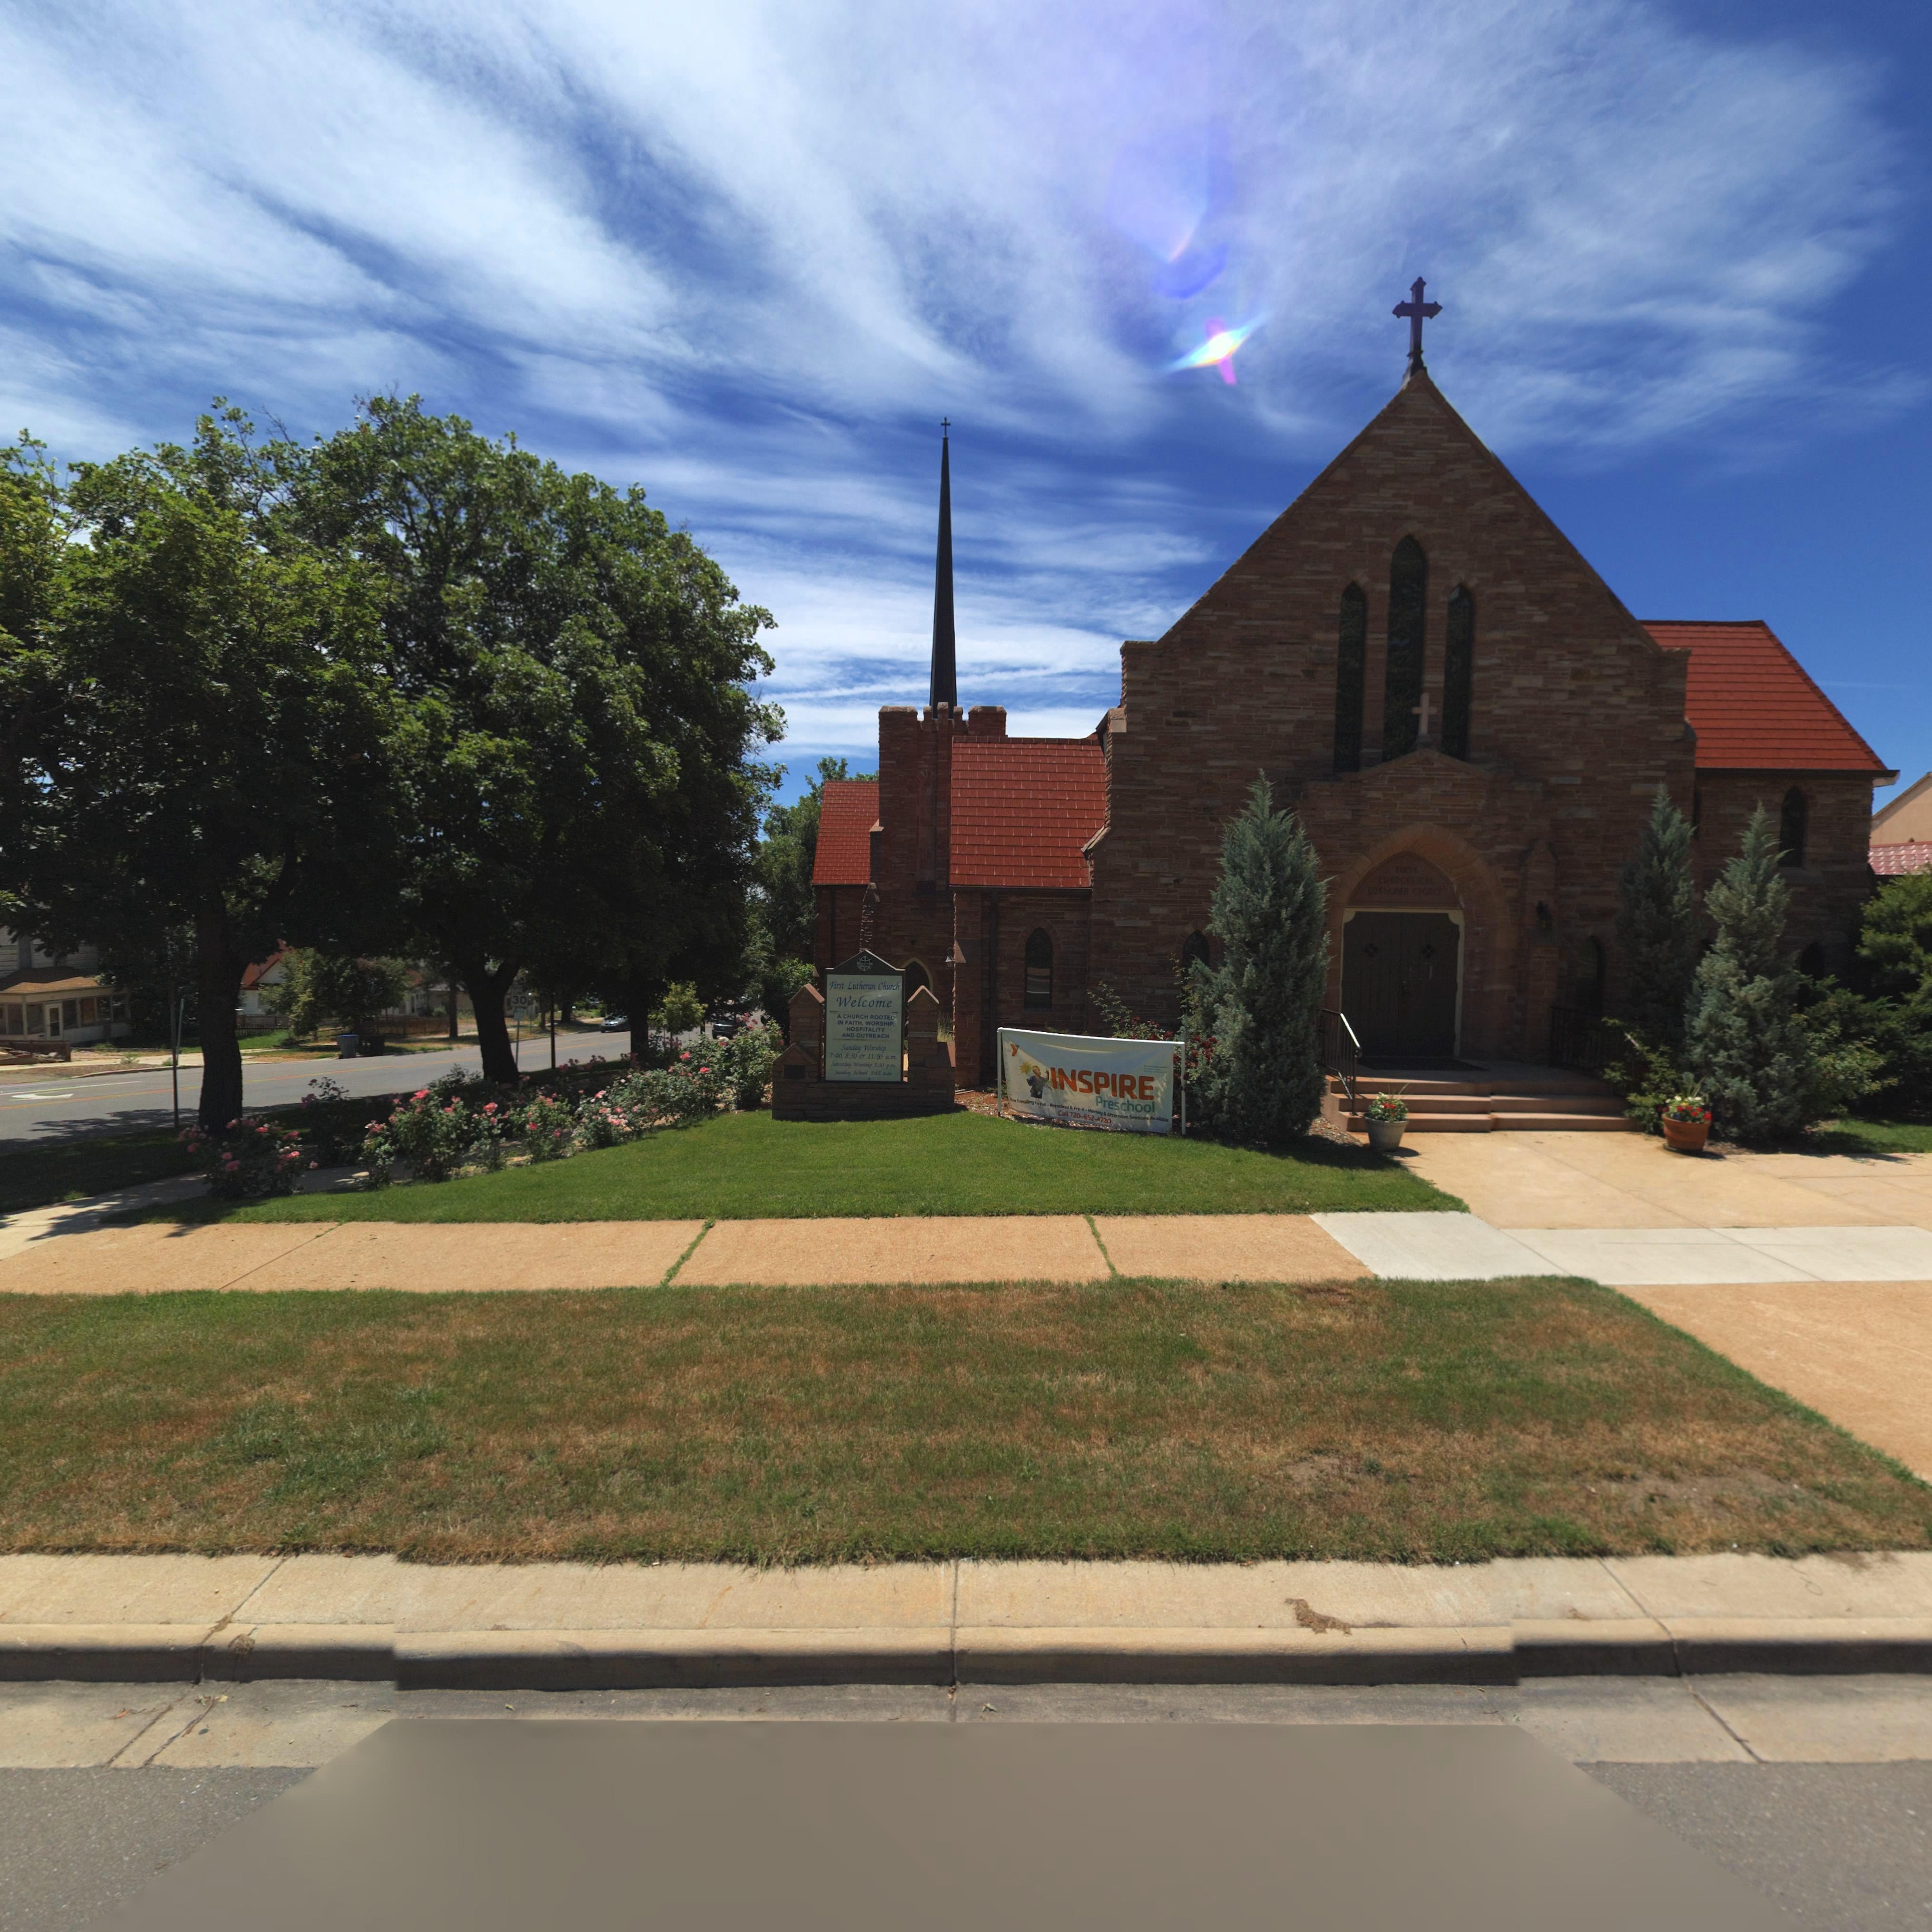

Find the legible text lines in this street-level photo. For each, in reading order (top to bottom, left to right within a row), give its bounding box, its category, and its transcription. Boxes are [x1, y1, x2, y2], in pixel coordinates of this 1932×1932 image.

[828, 980, 900, 991] BusinessName: First Lutheran Church